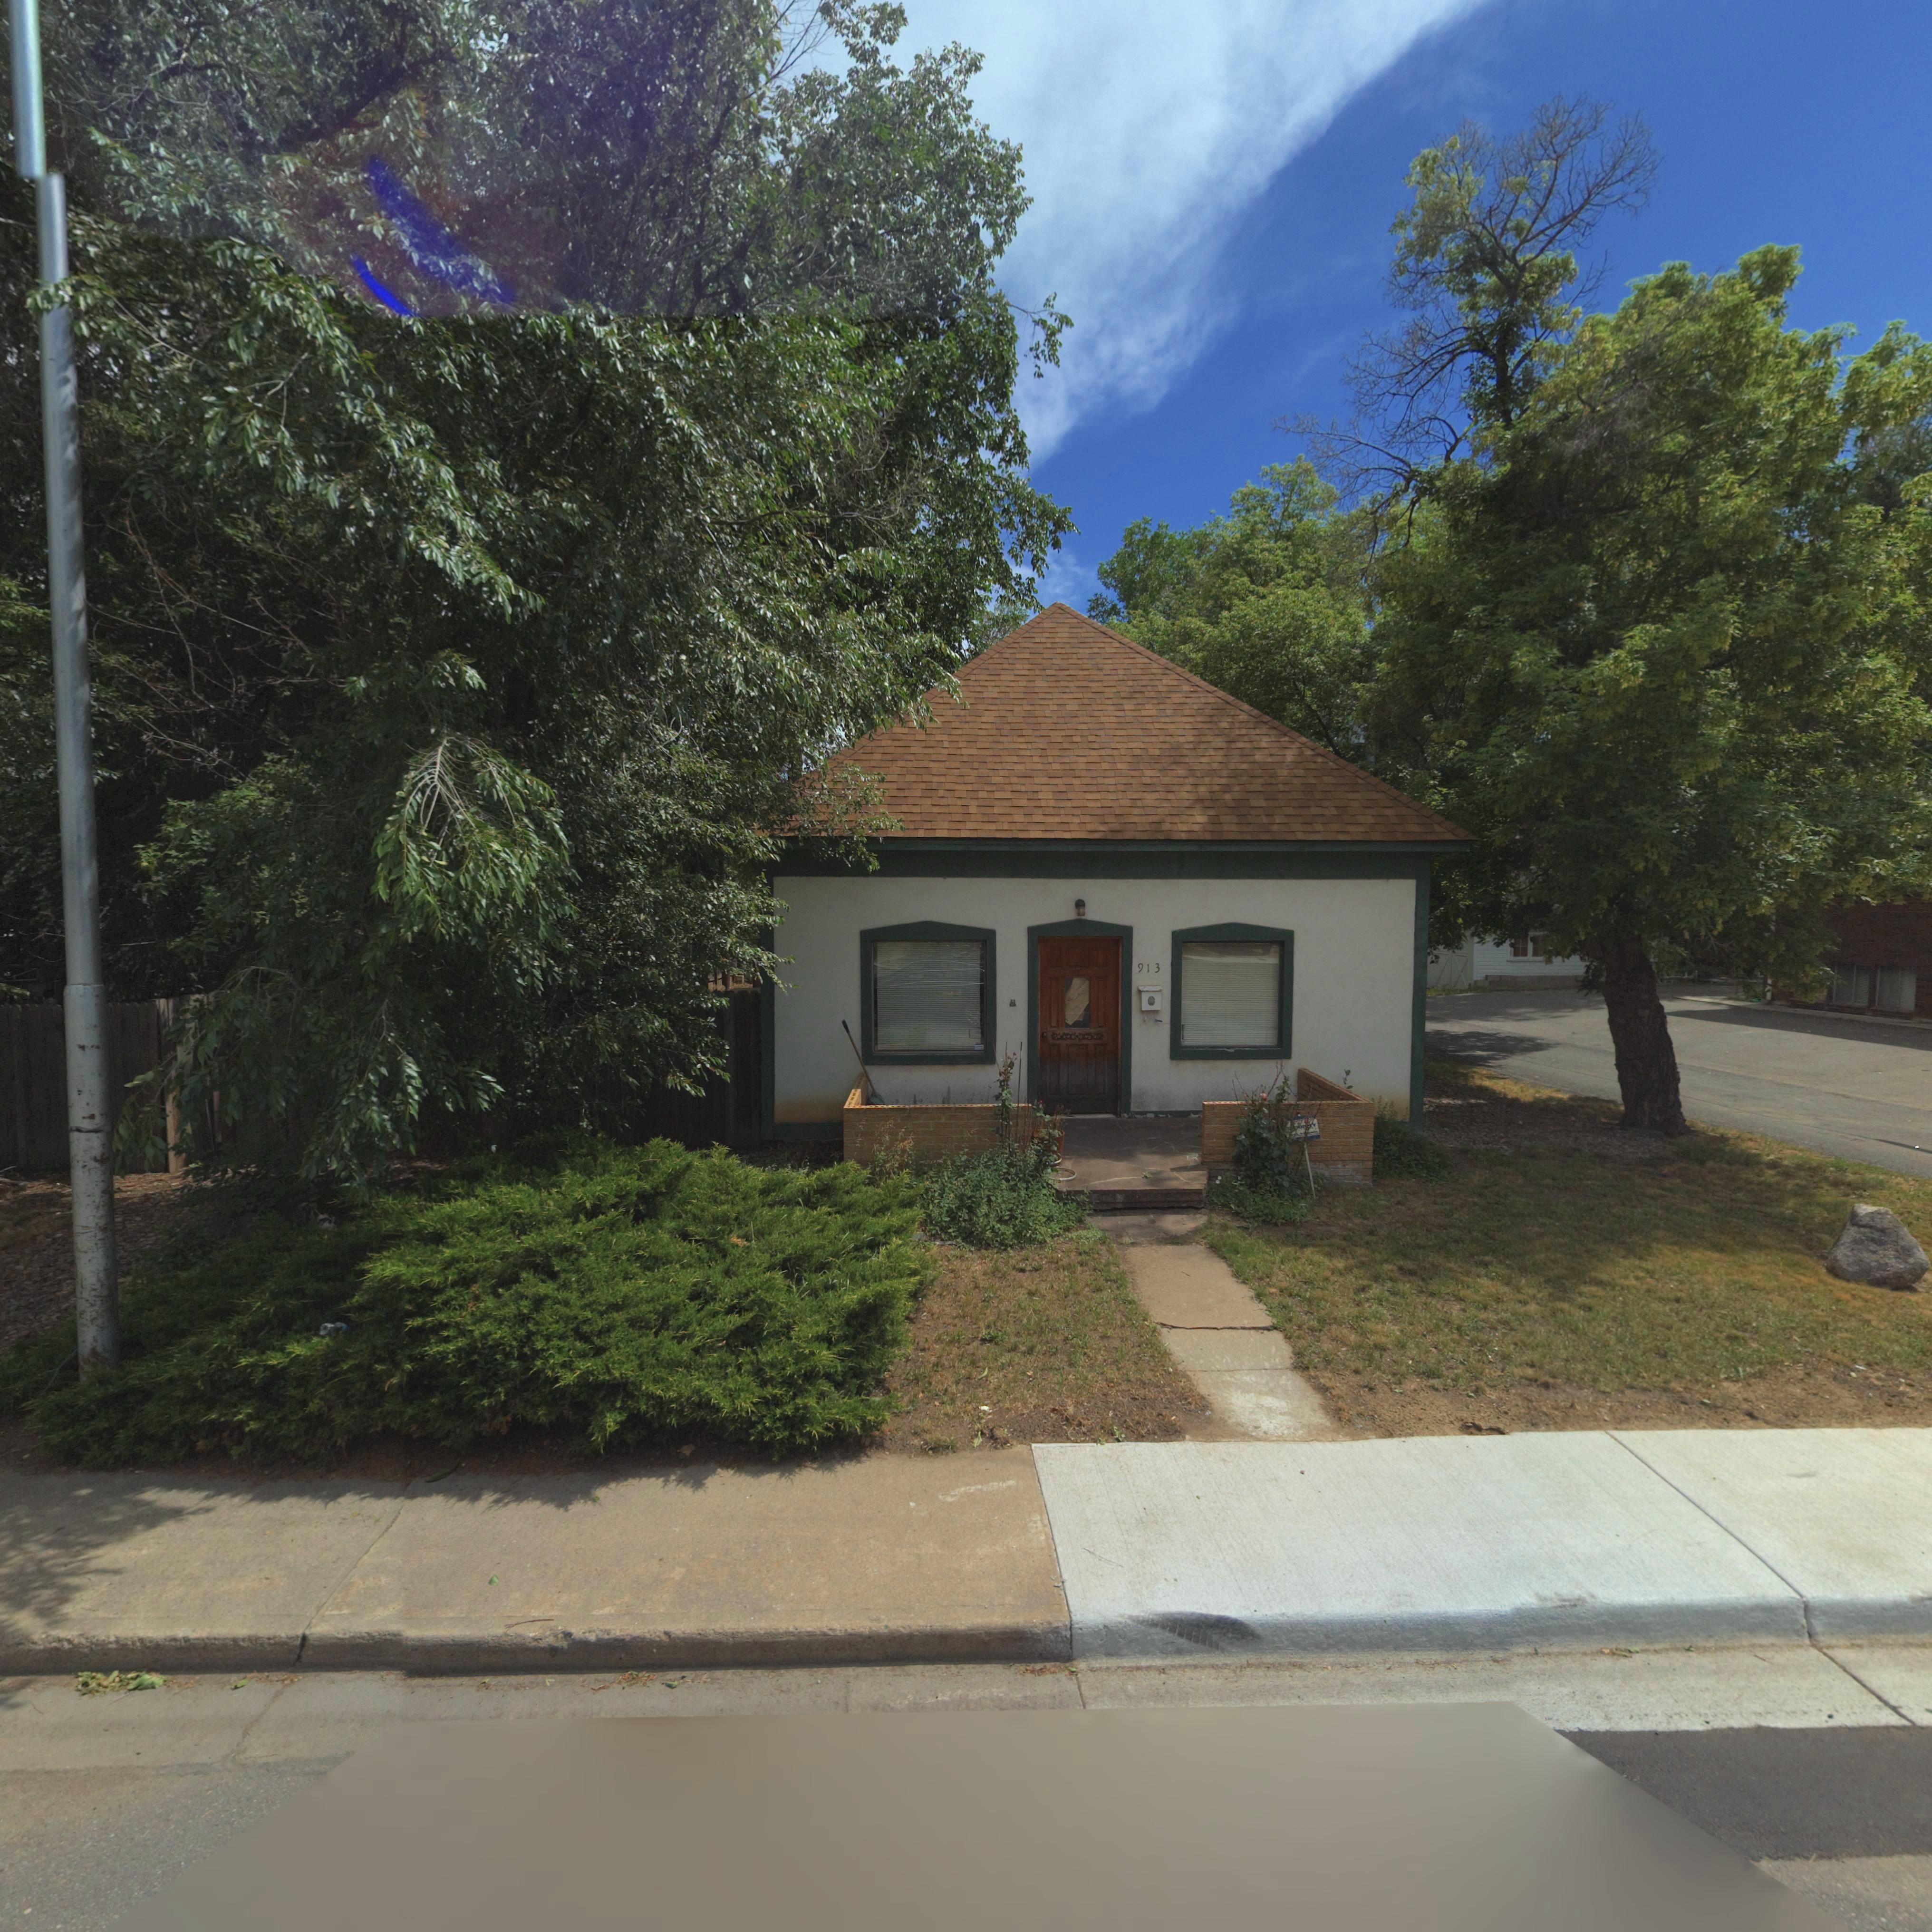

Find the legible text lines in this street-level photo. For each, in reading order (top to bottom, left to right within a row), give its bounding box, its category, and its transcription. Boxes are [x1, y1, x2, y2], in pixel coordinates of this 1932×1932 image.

[1137, 962, 1160, 973] StreetNumber: 913